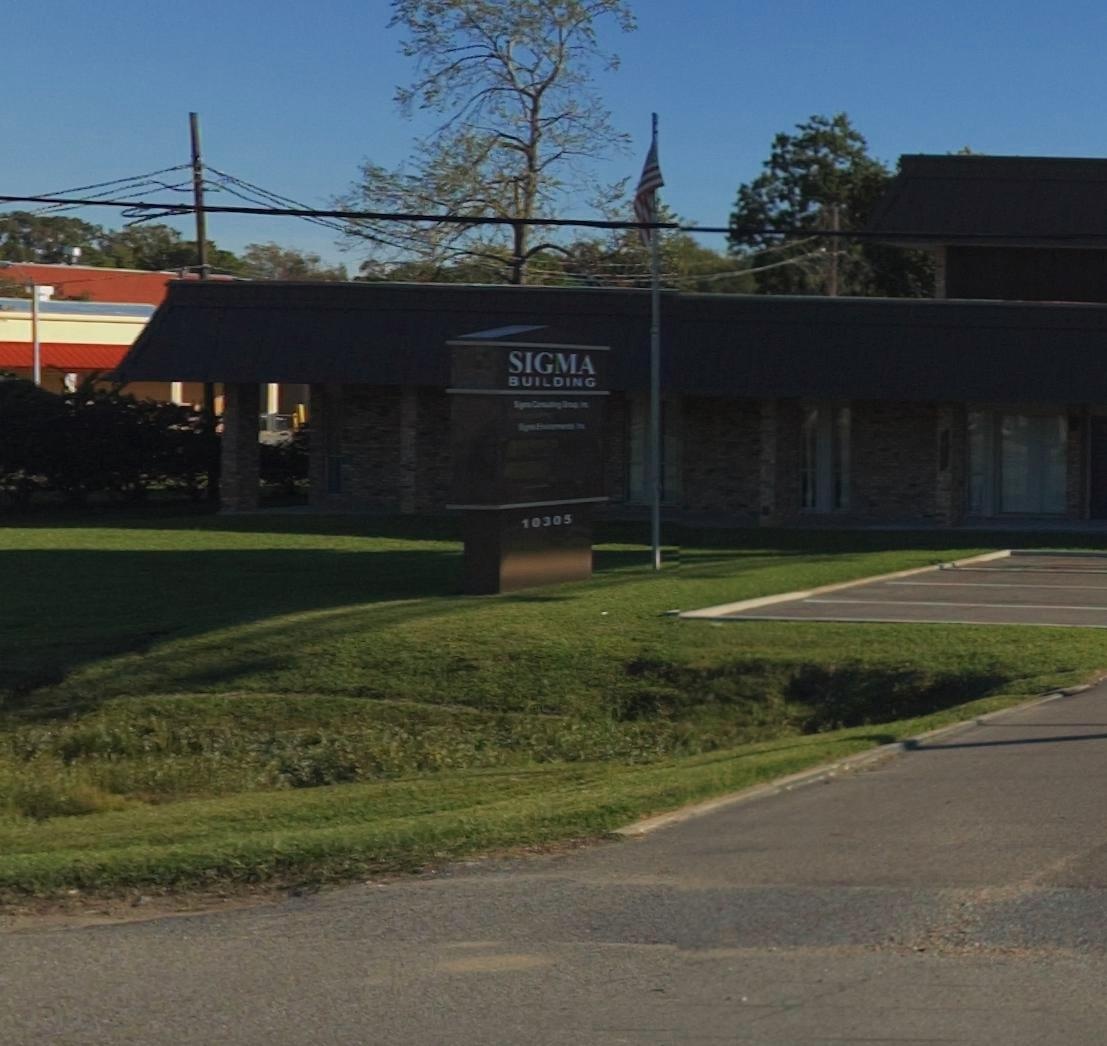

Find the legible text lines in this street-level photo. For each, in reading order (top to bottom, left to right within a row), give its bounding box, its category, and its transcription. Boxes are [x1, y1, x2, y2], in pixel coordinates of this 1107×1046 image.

[508, 348, 600, 376] None: SIGMA
[506, 374, 598, 388] None: BUILDING
[520, 512, 574, 530] StreetNumber: 10305